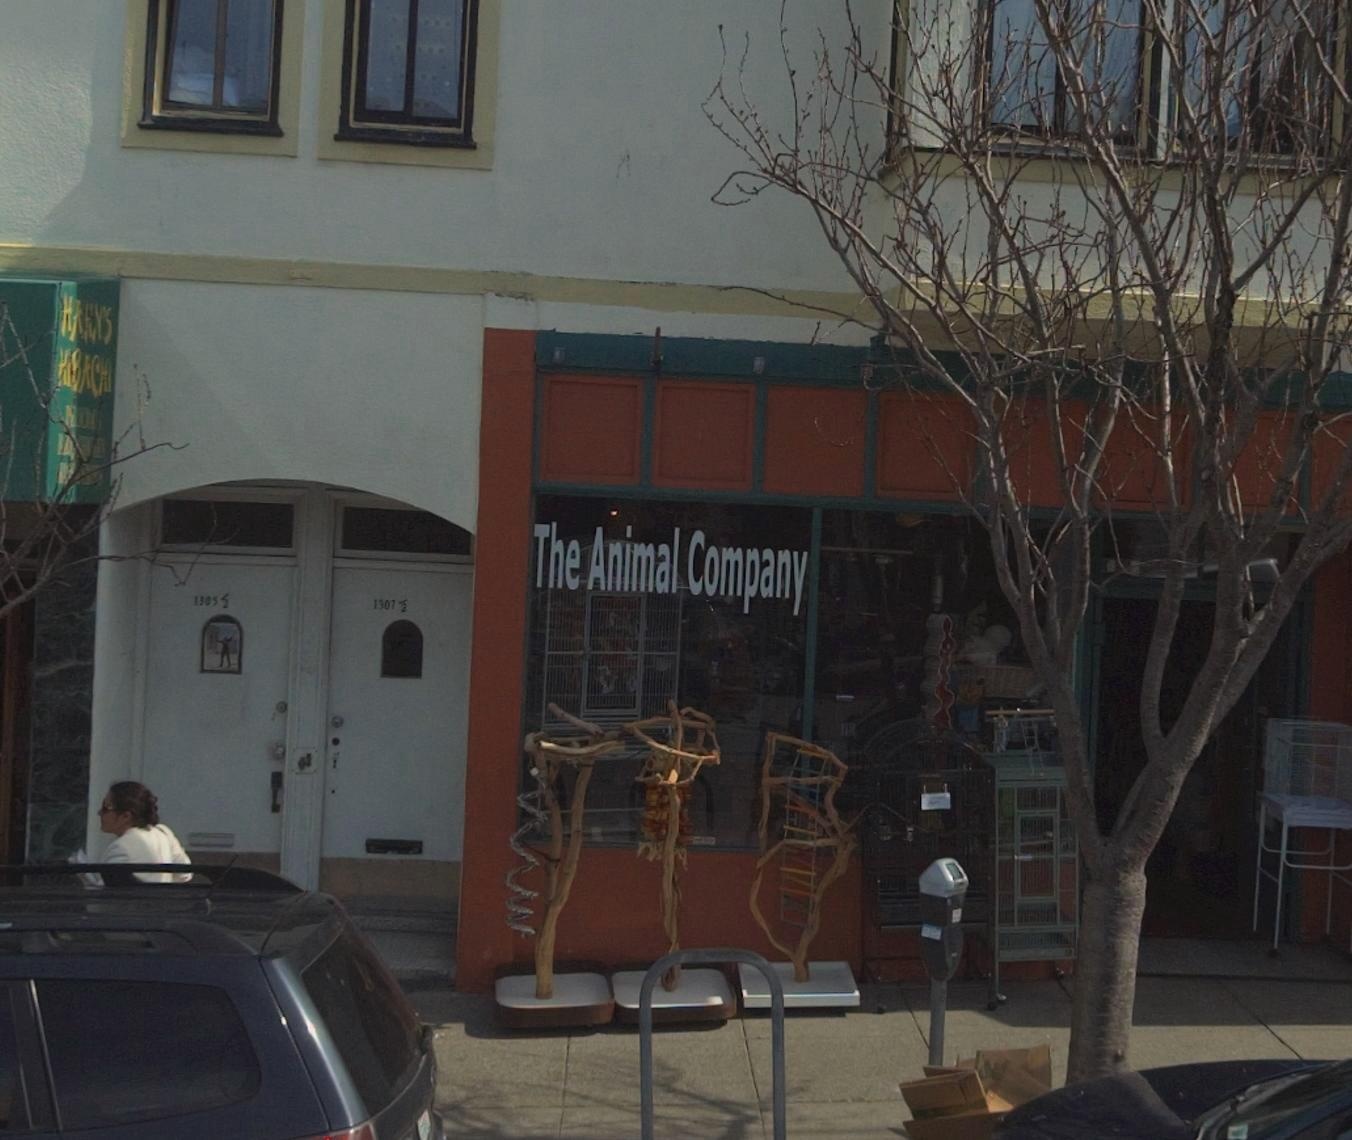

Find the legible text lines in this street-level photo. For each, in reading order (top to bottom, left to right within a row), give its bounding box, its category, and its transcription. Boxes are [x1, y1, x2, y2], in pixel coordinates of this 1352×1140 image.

[57, 290, 74, 336] BusinessName: H
[92, 297, 115, 347] BusinessName: Y'S
[54, 339, 115, 402] BusinessName: H*BACHI
[533, 520, 810, 617] BusinessName: The Animal Company
[192, 594, 220, 608] StreetNumber: 1305
[372, 597, 397, 612] StreetNumber: 1307